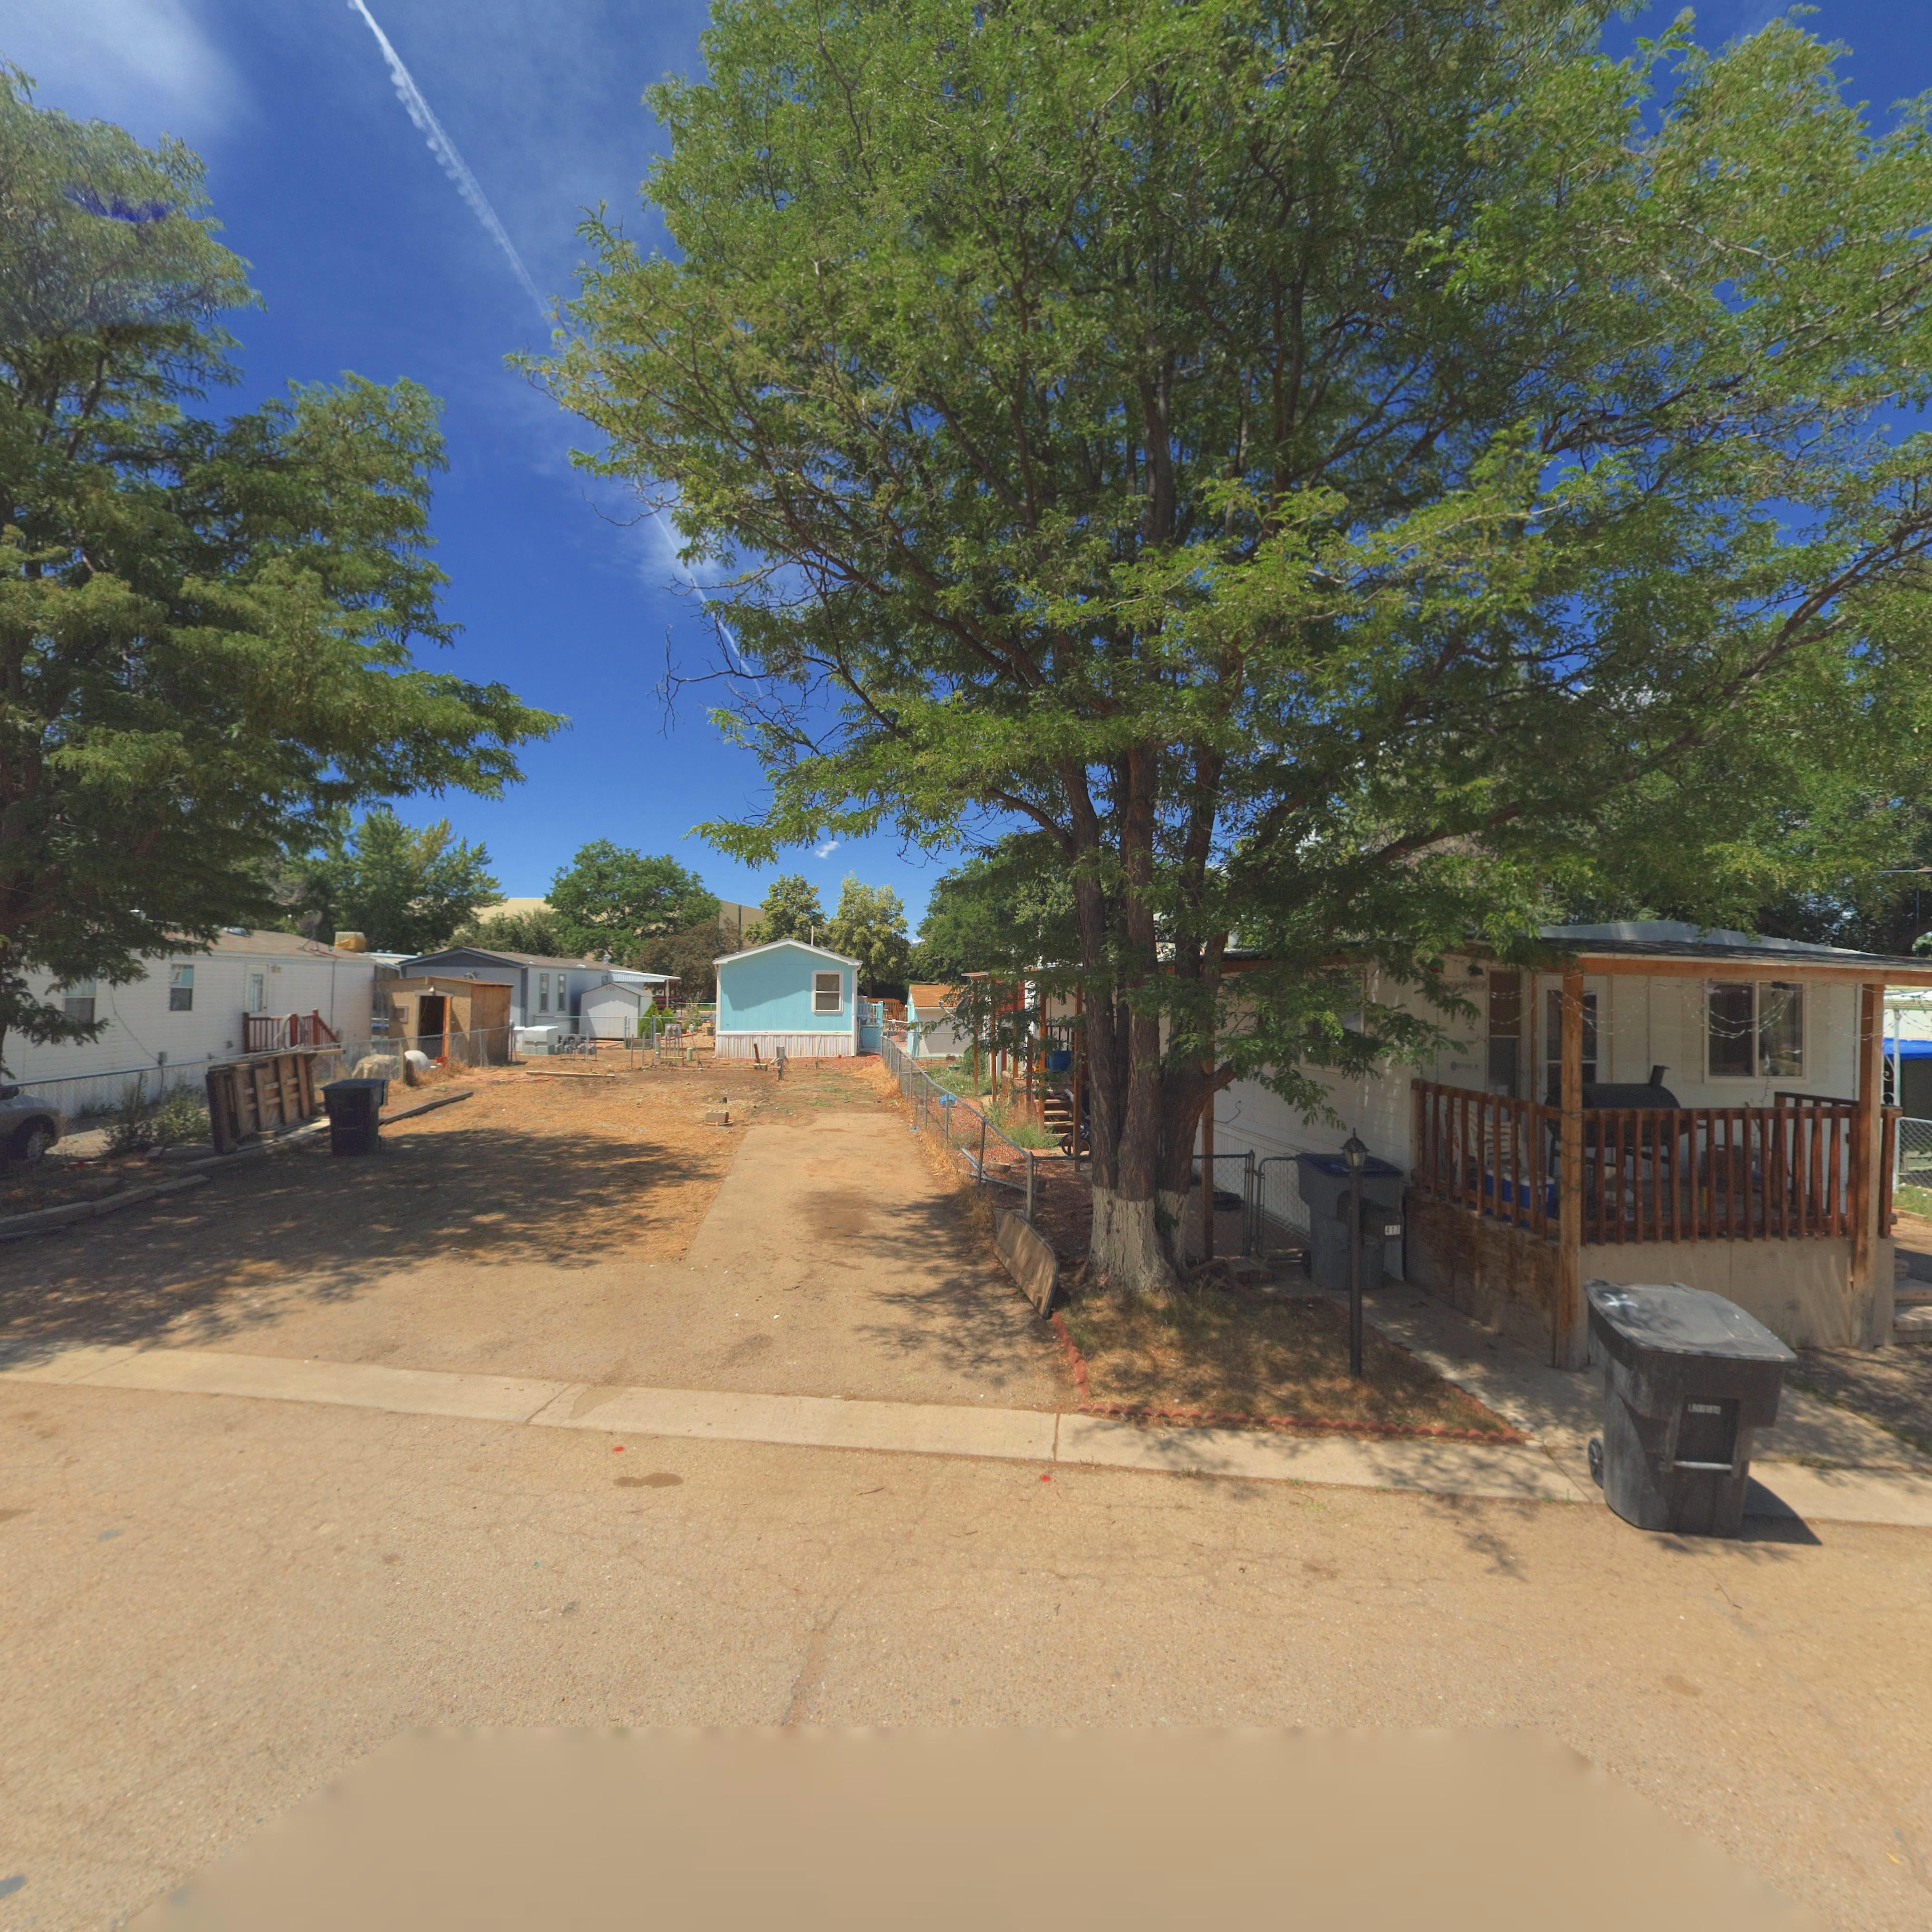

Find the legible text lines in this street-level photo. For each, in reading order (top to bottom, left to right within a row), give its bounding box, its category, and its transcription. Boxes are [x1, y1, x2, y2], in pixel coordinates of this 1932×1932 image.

[1385, 1225, 1400, 1234] StreetNumber: 417